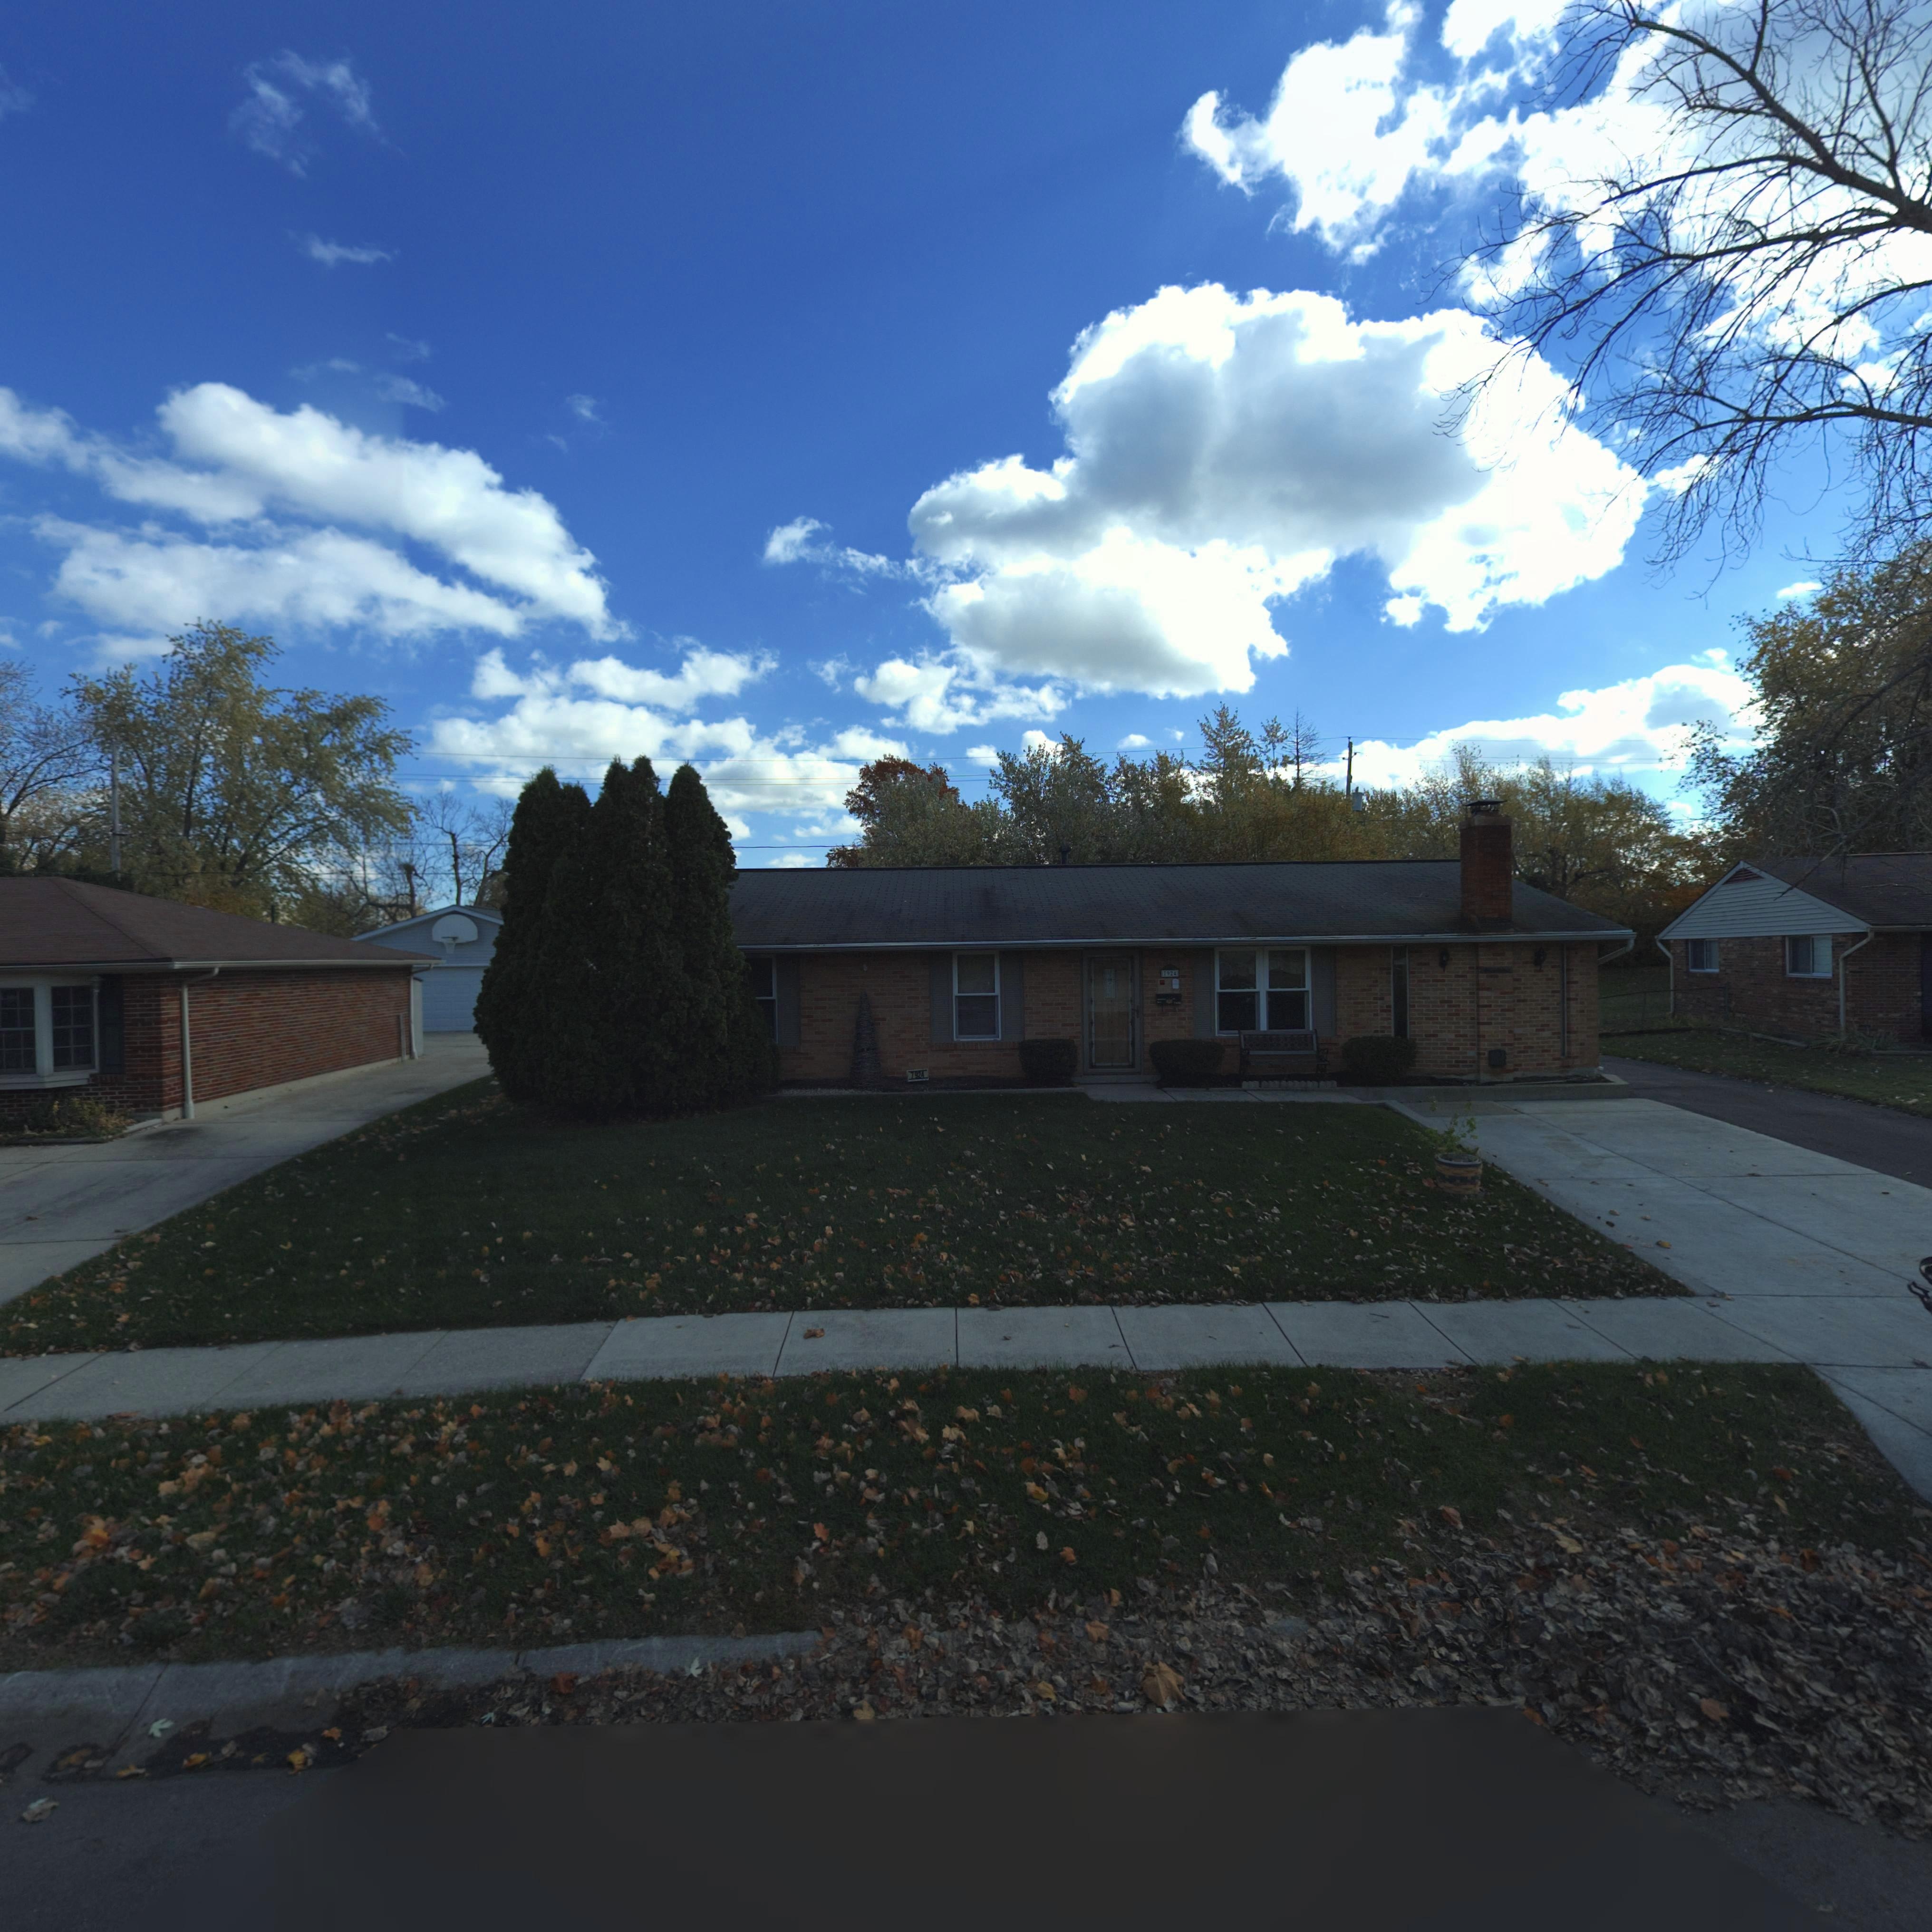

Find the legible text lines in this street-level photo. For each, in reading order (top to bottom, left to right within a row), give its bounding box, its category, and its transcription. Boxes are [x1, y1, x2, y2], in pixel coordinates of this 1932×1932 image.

[1163, 970, 1177, 976] StreetNumber: 7924
[1173, 1001, 1181, 1005] StreetNumber: 7***
[909, 1070, 925, 1079] StreetNumber: 7924